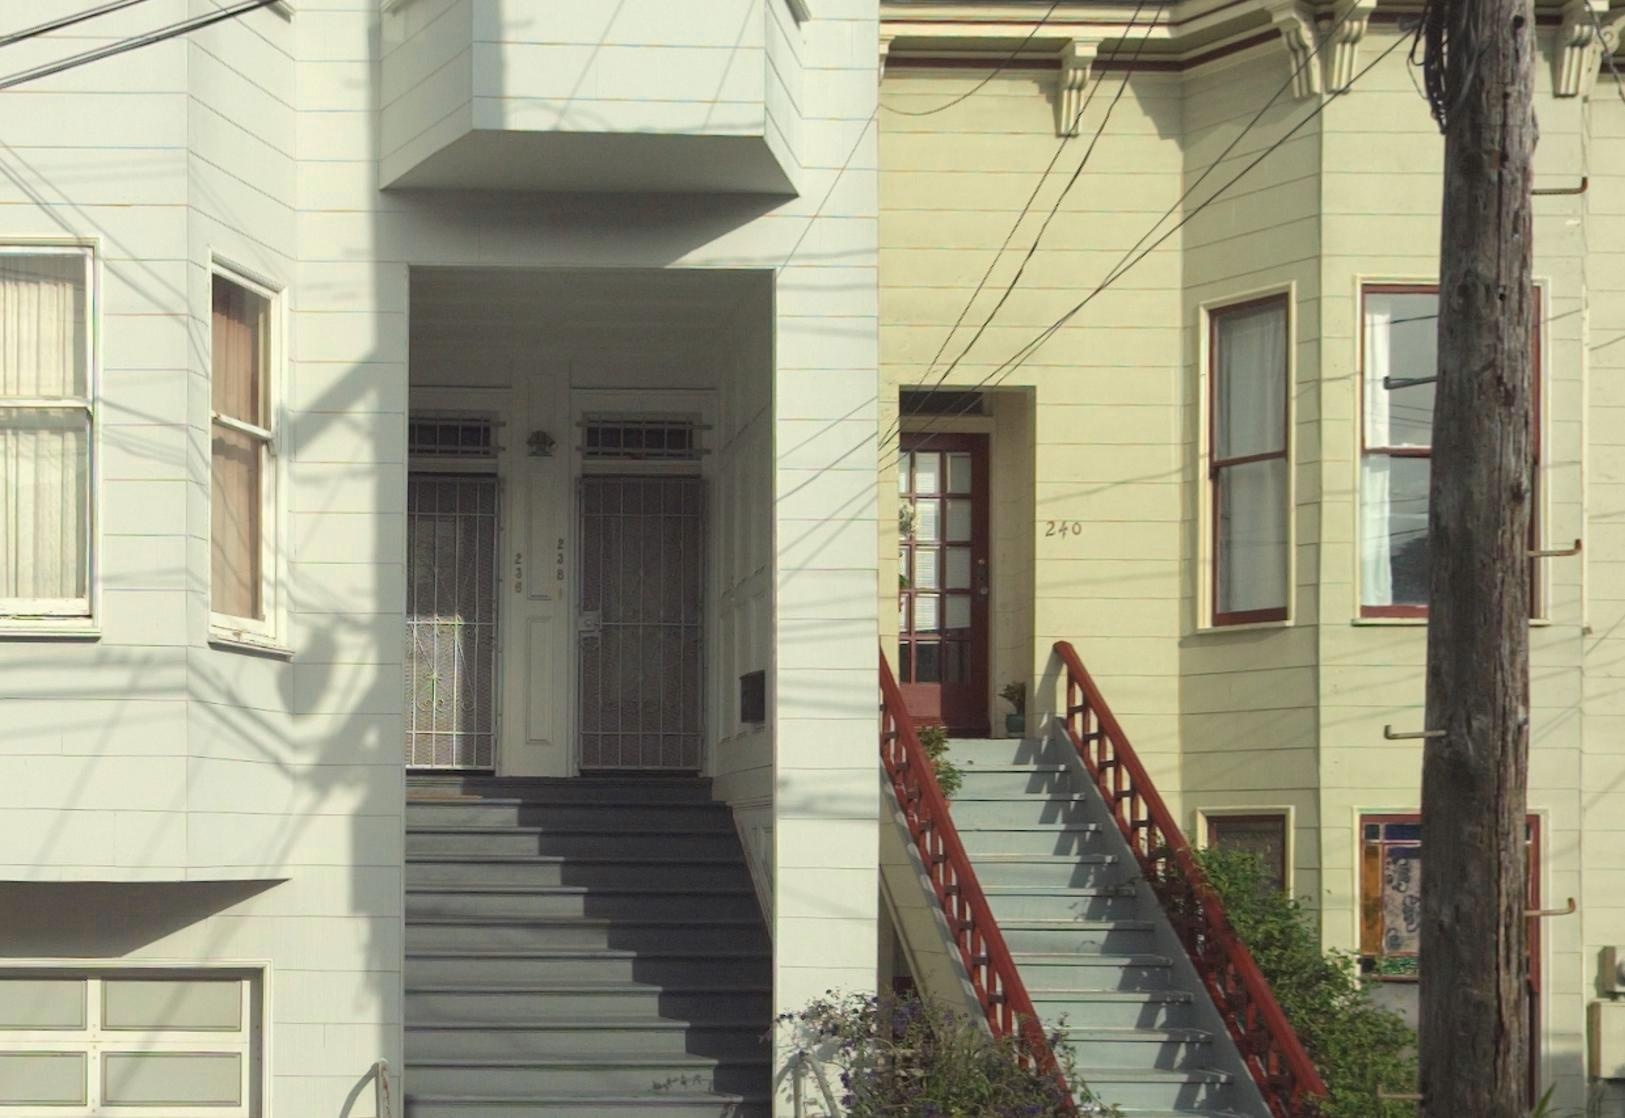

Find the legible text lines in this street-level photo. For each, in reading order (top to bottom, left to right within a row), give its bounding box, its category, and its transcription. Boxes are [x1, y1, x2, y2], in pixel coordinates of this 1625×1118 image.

[1044, 519, 1084, 540] StreetNumber: 240
[513, 551, 524, 595] StreetNumber: 236
[555, 536, 565, 582] StreetNumber: 238